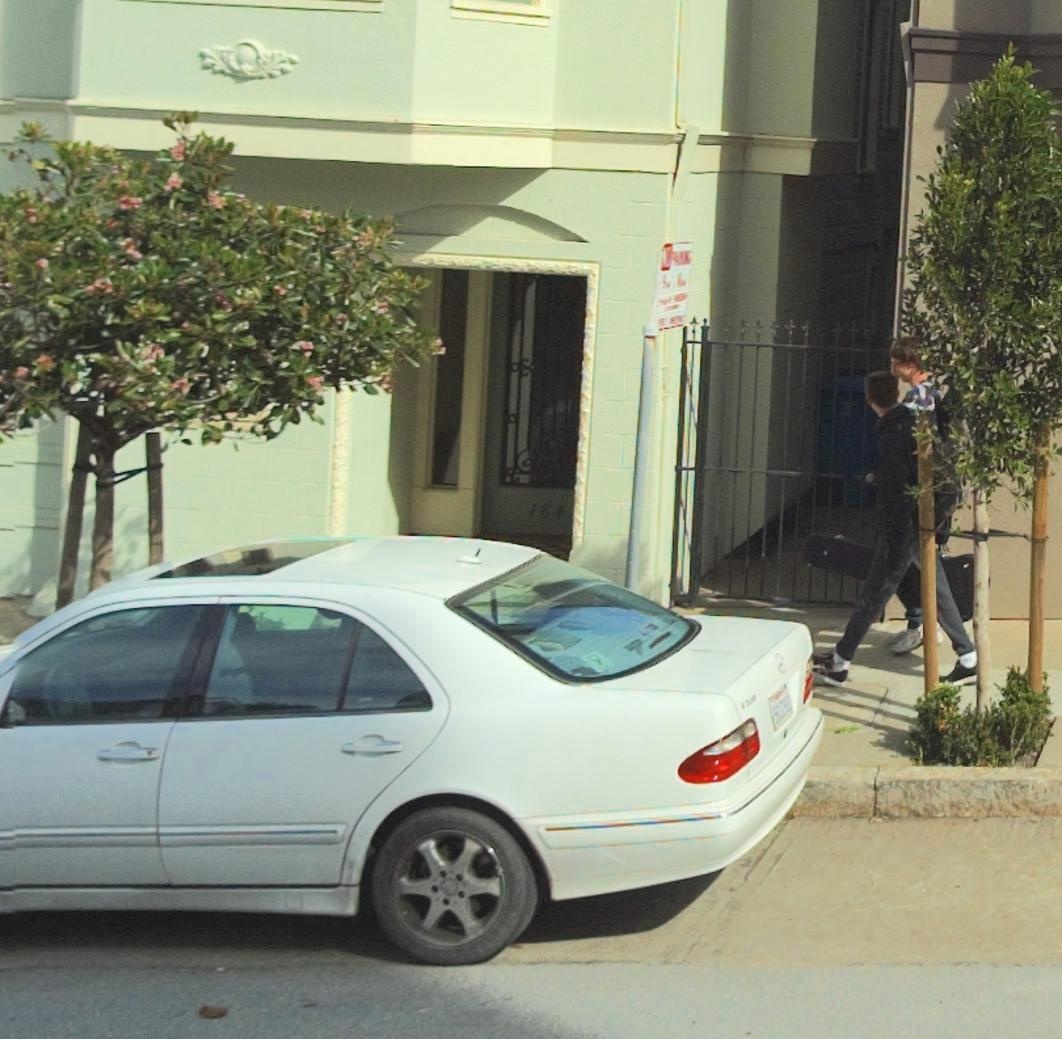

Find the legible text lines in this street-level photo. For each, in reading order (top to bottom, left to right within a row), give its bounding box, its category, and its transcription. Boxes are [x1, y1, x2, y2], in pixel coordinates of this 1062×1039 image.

[525, 500, 569, 522] StreetNumber: 184